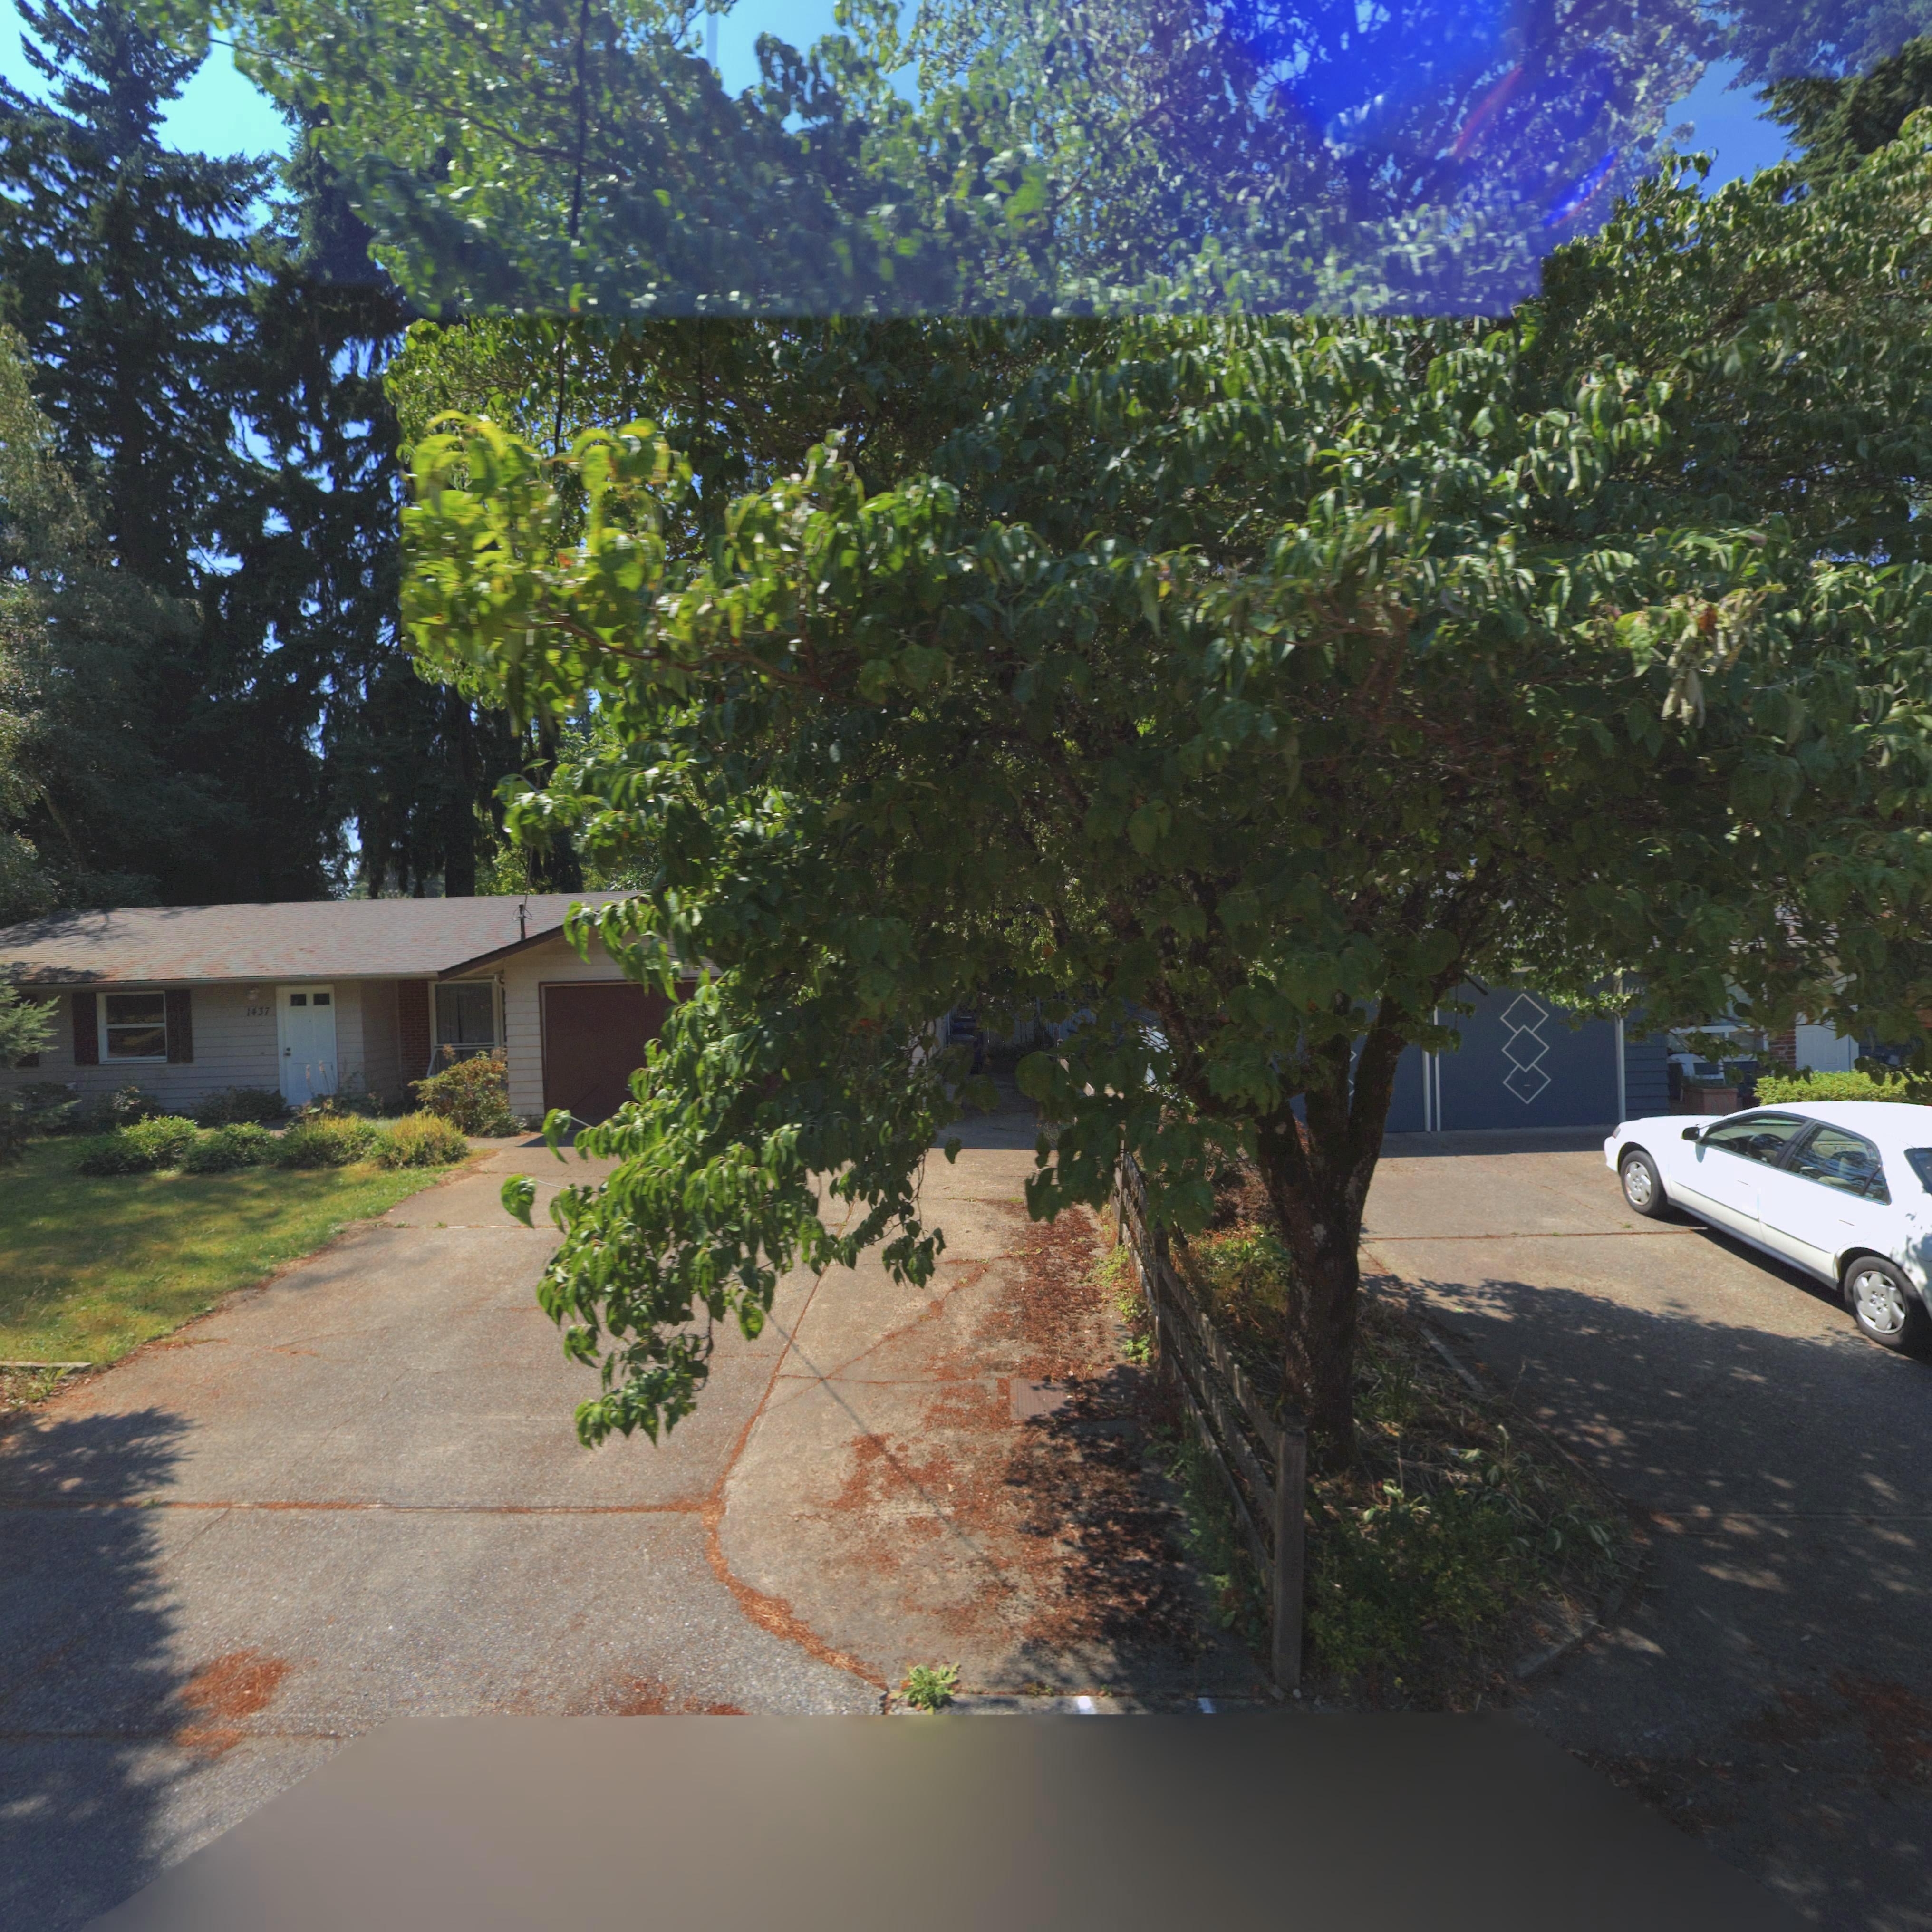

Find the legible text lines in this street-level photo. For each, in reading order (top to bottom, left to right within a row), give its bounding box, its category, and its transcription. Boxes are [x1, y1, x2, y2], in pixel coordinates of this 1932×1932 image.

[246, 1006, 271, 1016] StreetNumber: 1437